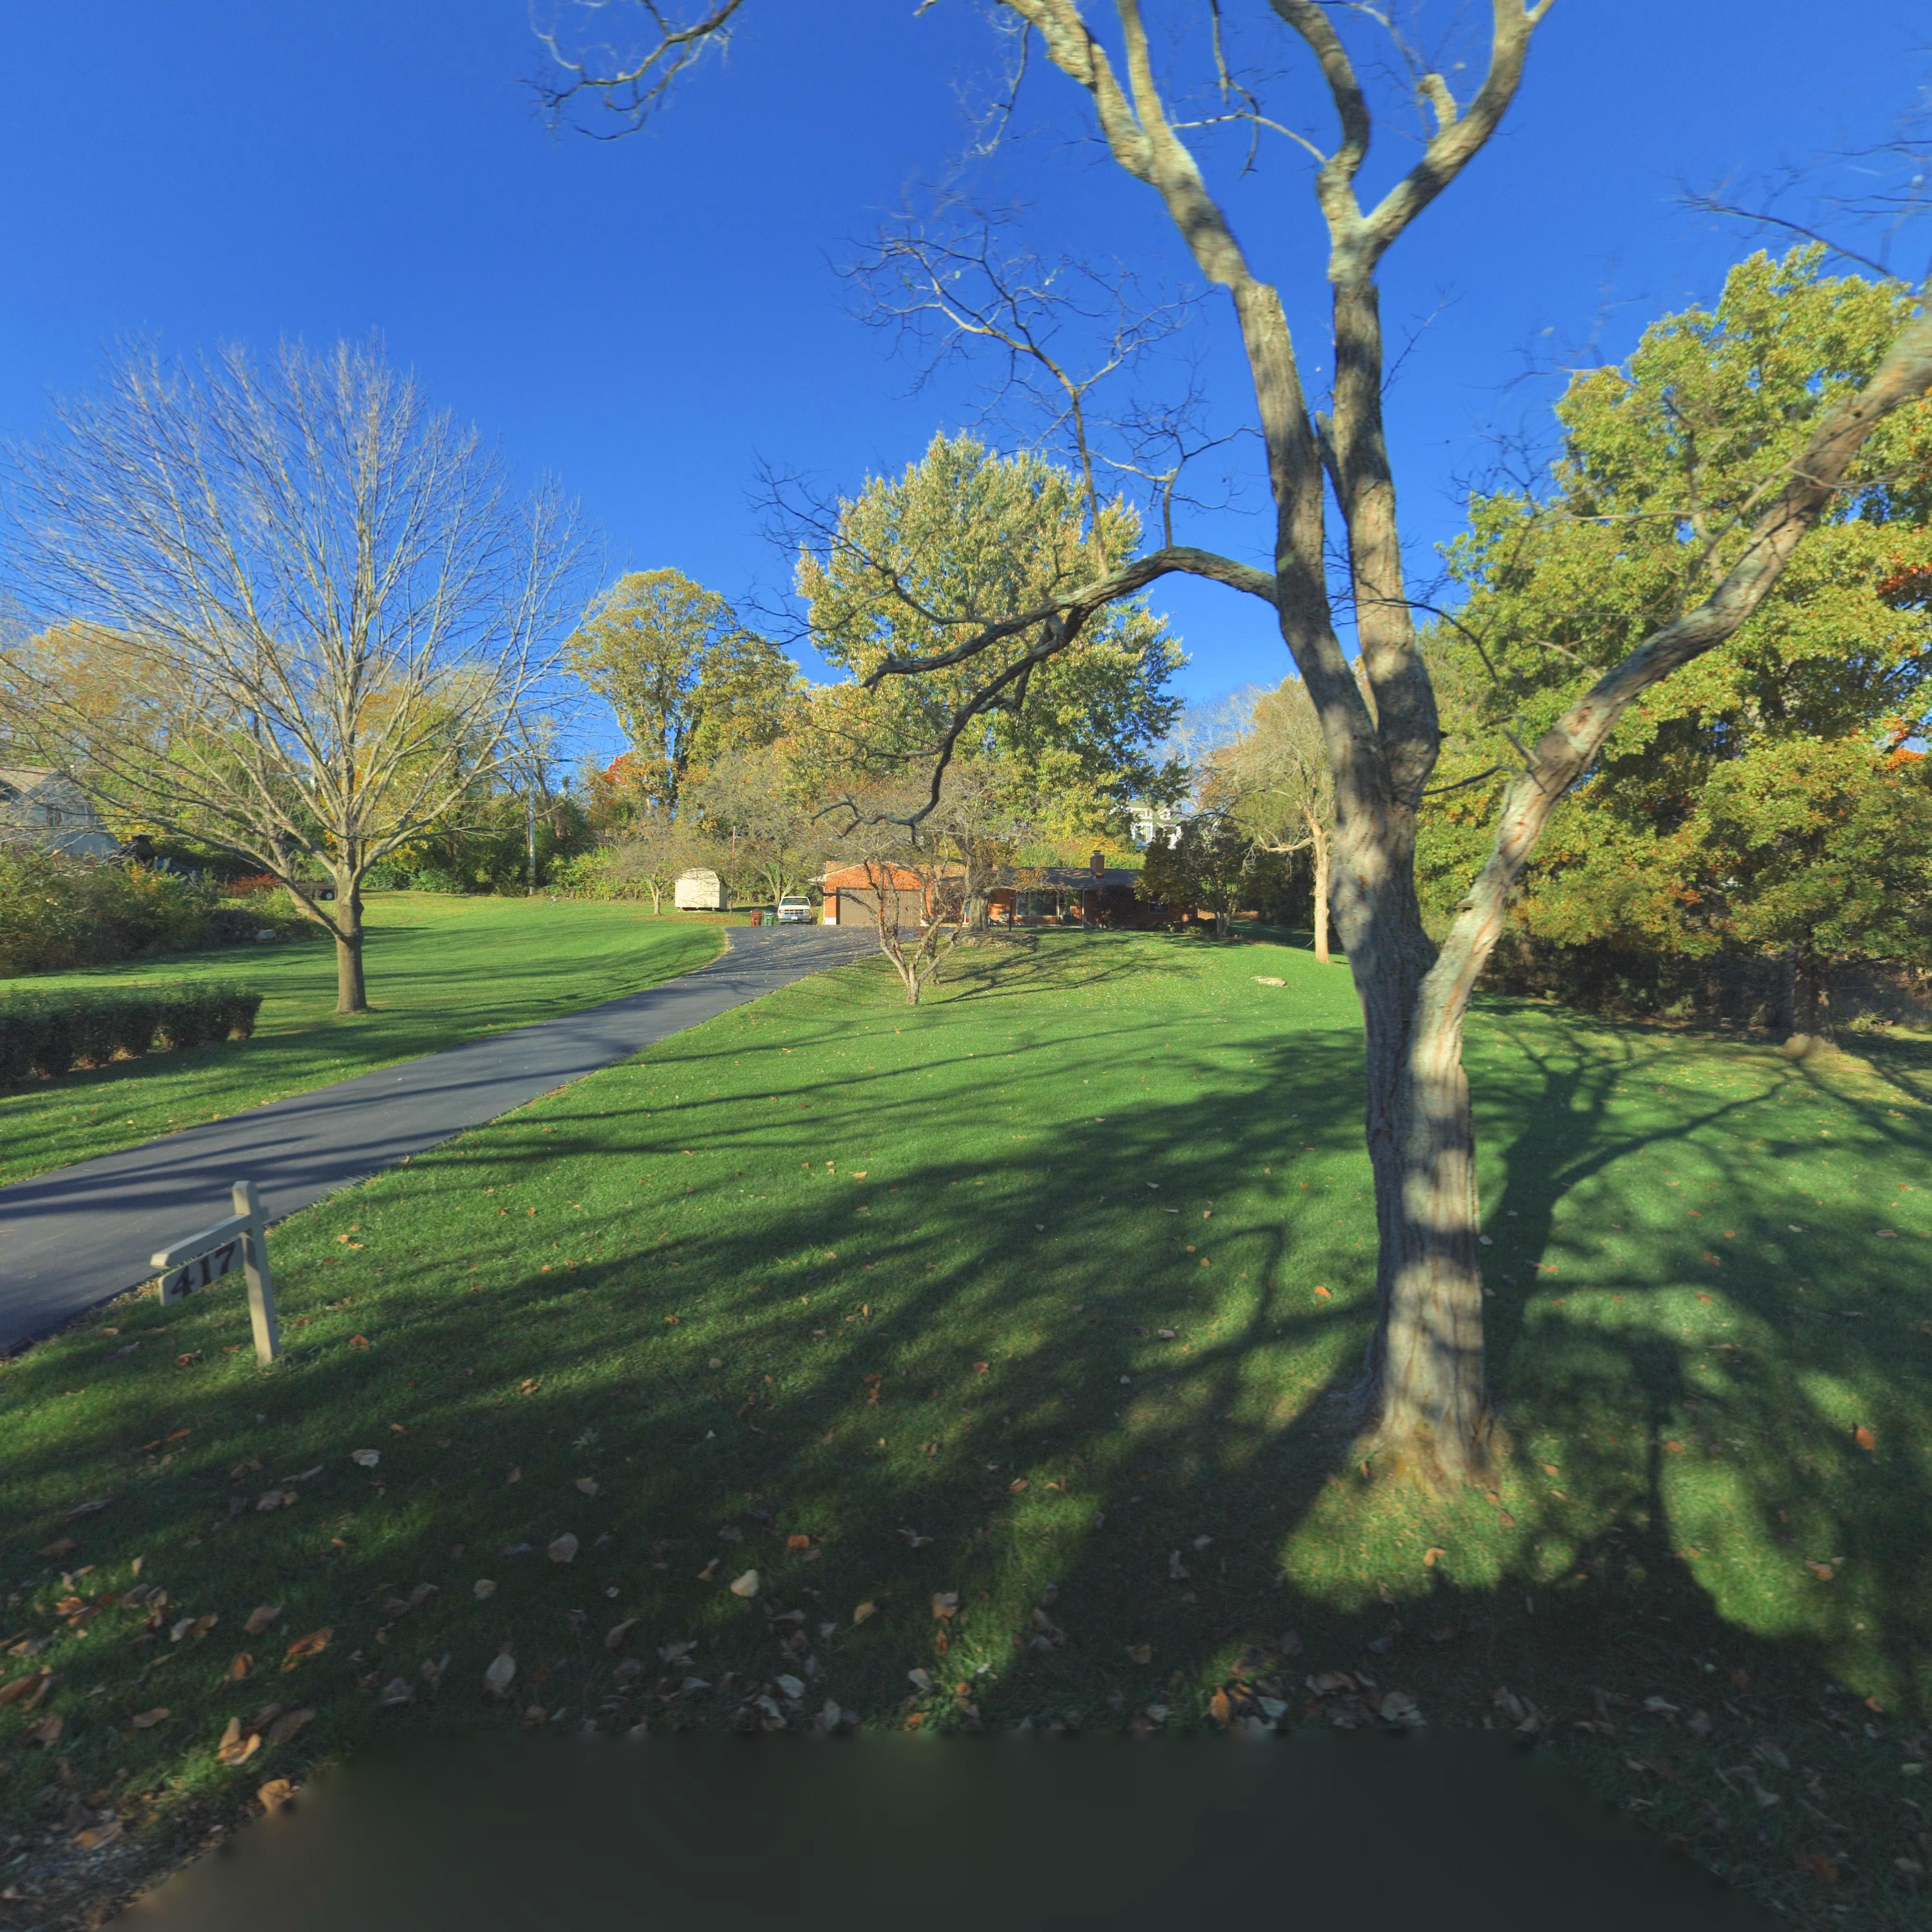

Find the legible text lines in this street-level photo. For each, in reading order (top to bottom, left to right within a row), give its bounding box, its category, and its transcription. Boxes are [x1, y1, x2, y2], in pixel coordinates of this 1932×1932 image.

[168, 1239, 236, 1300] StreetNumber: 417